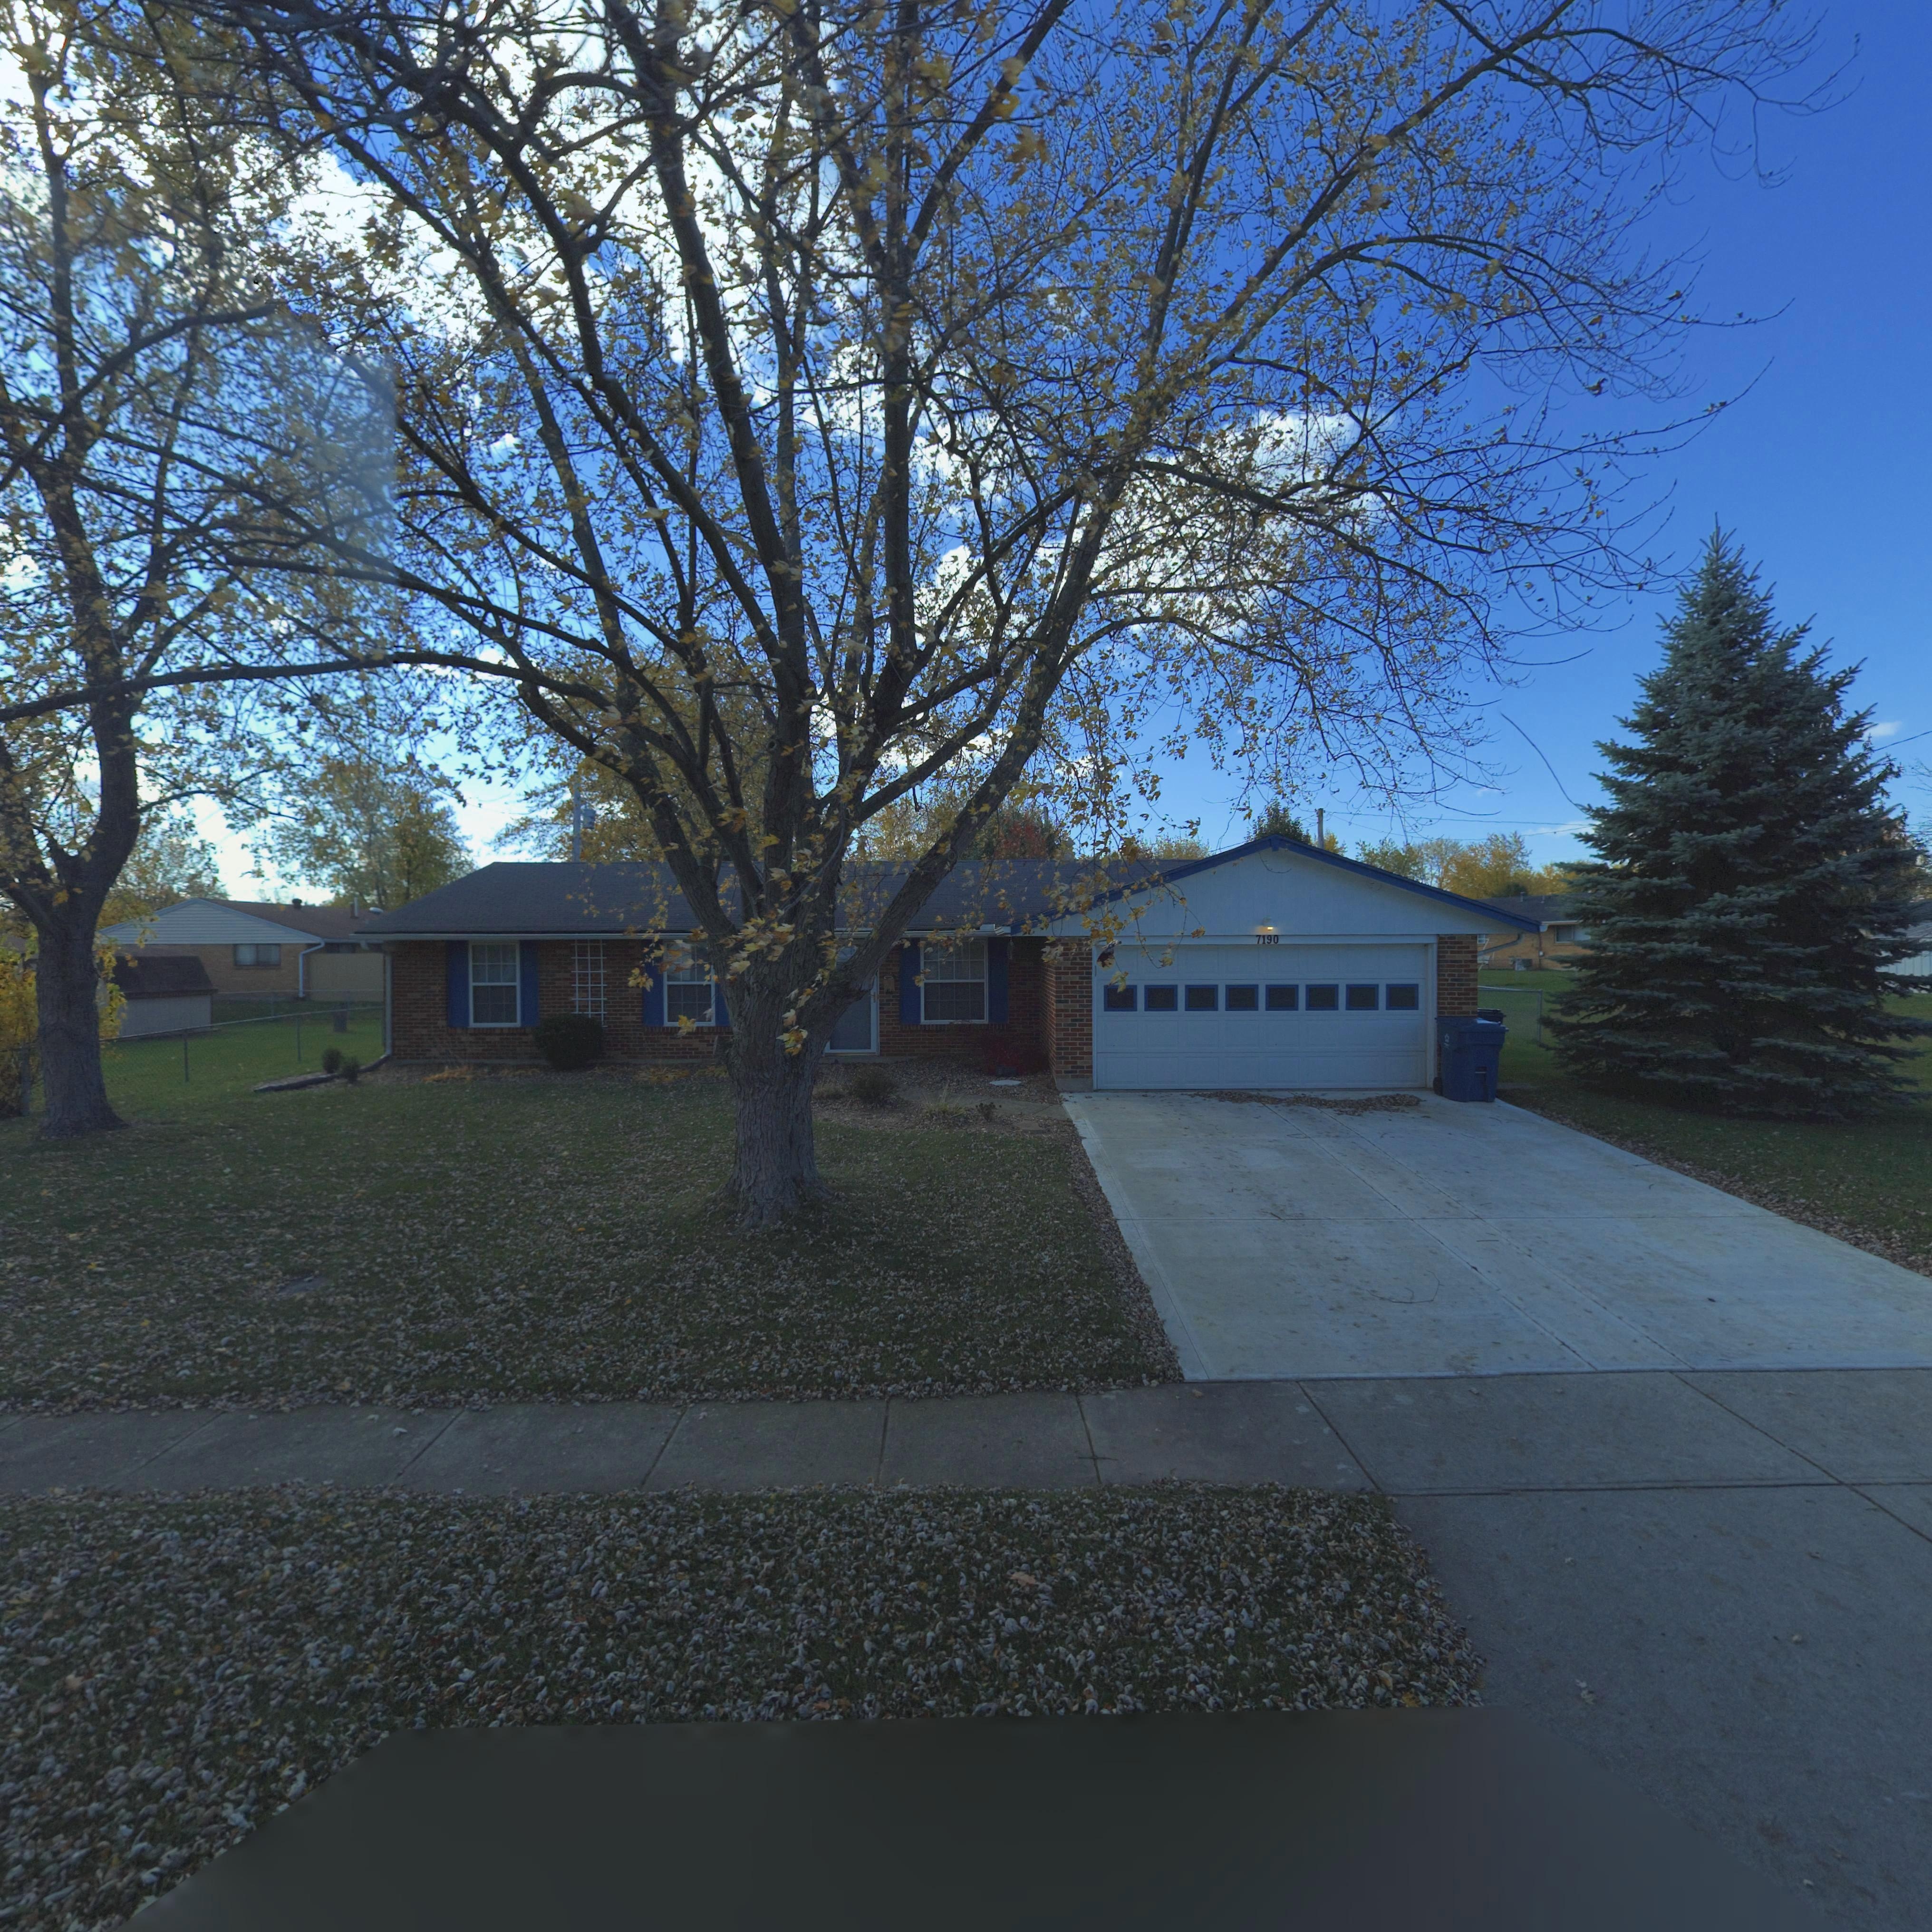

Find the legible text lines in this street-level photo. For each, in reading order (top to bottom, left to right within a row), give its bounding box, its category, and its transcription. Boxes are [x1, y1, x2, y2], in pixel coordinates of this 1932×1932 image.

[1255, 934, 1280, 945] StreetNumber: 7190